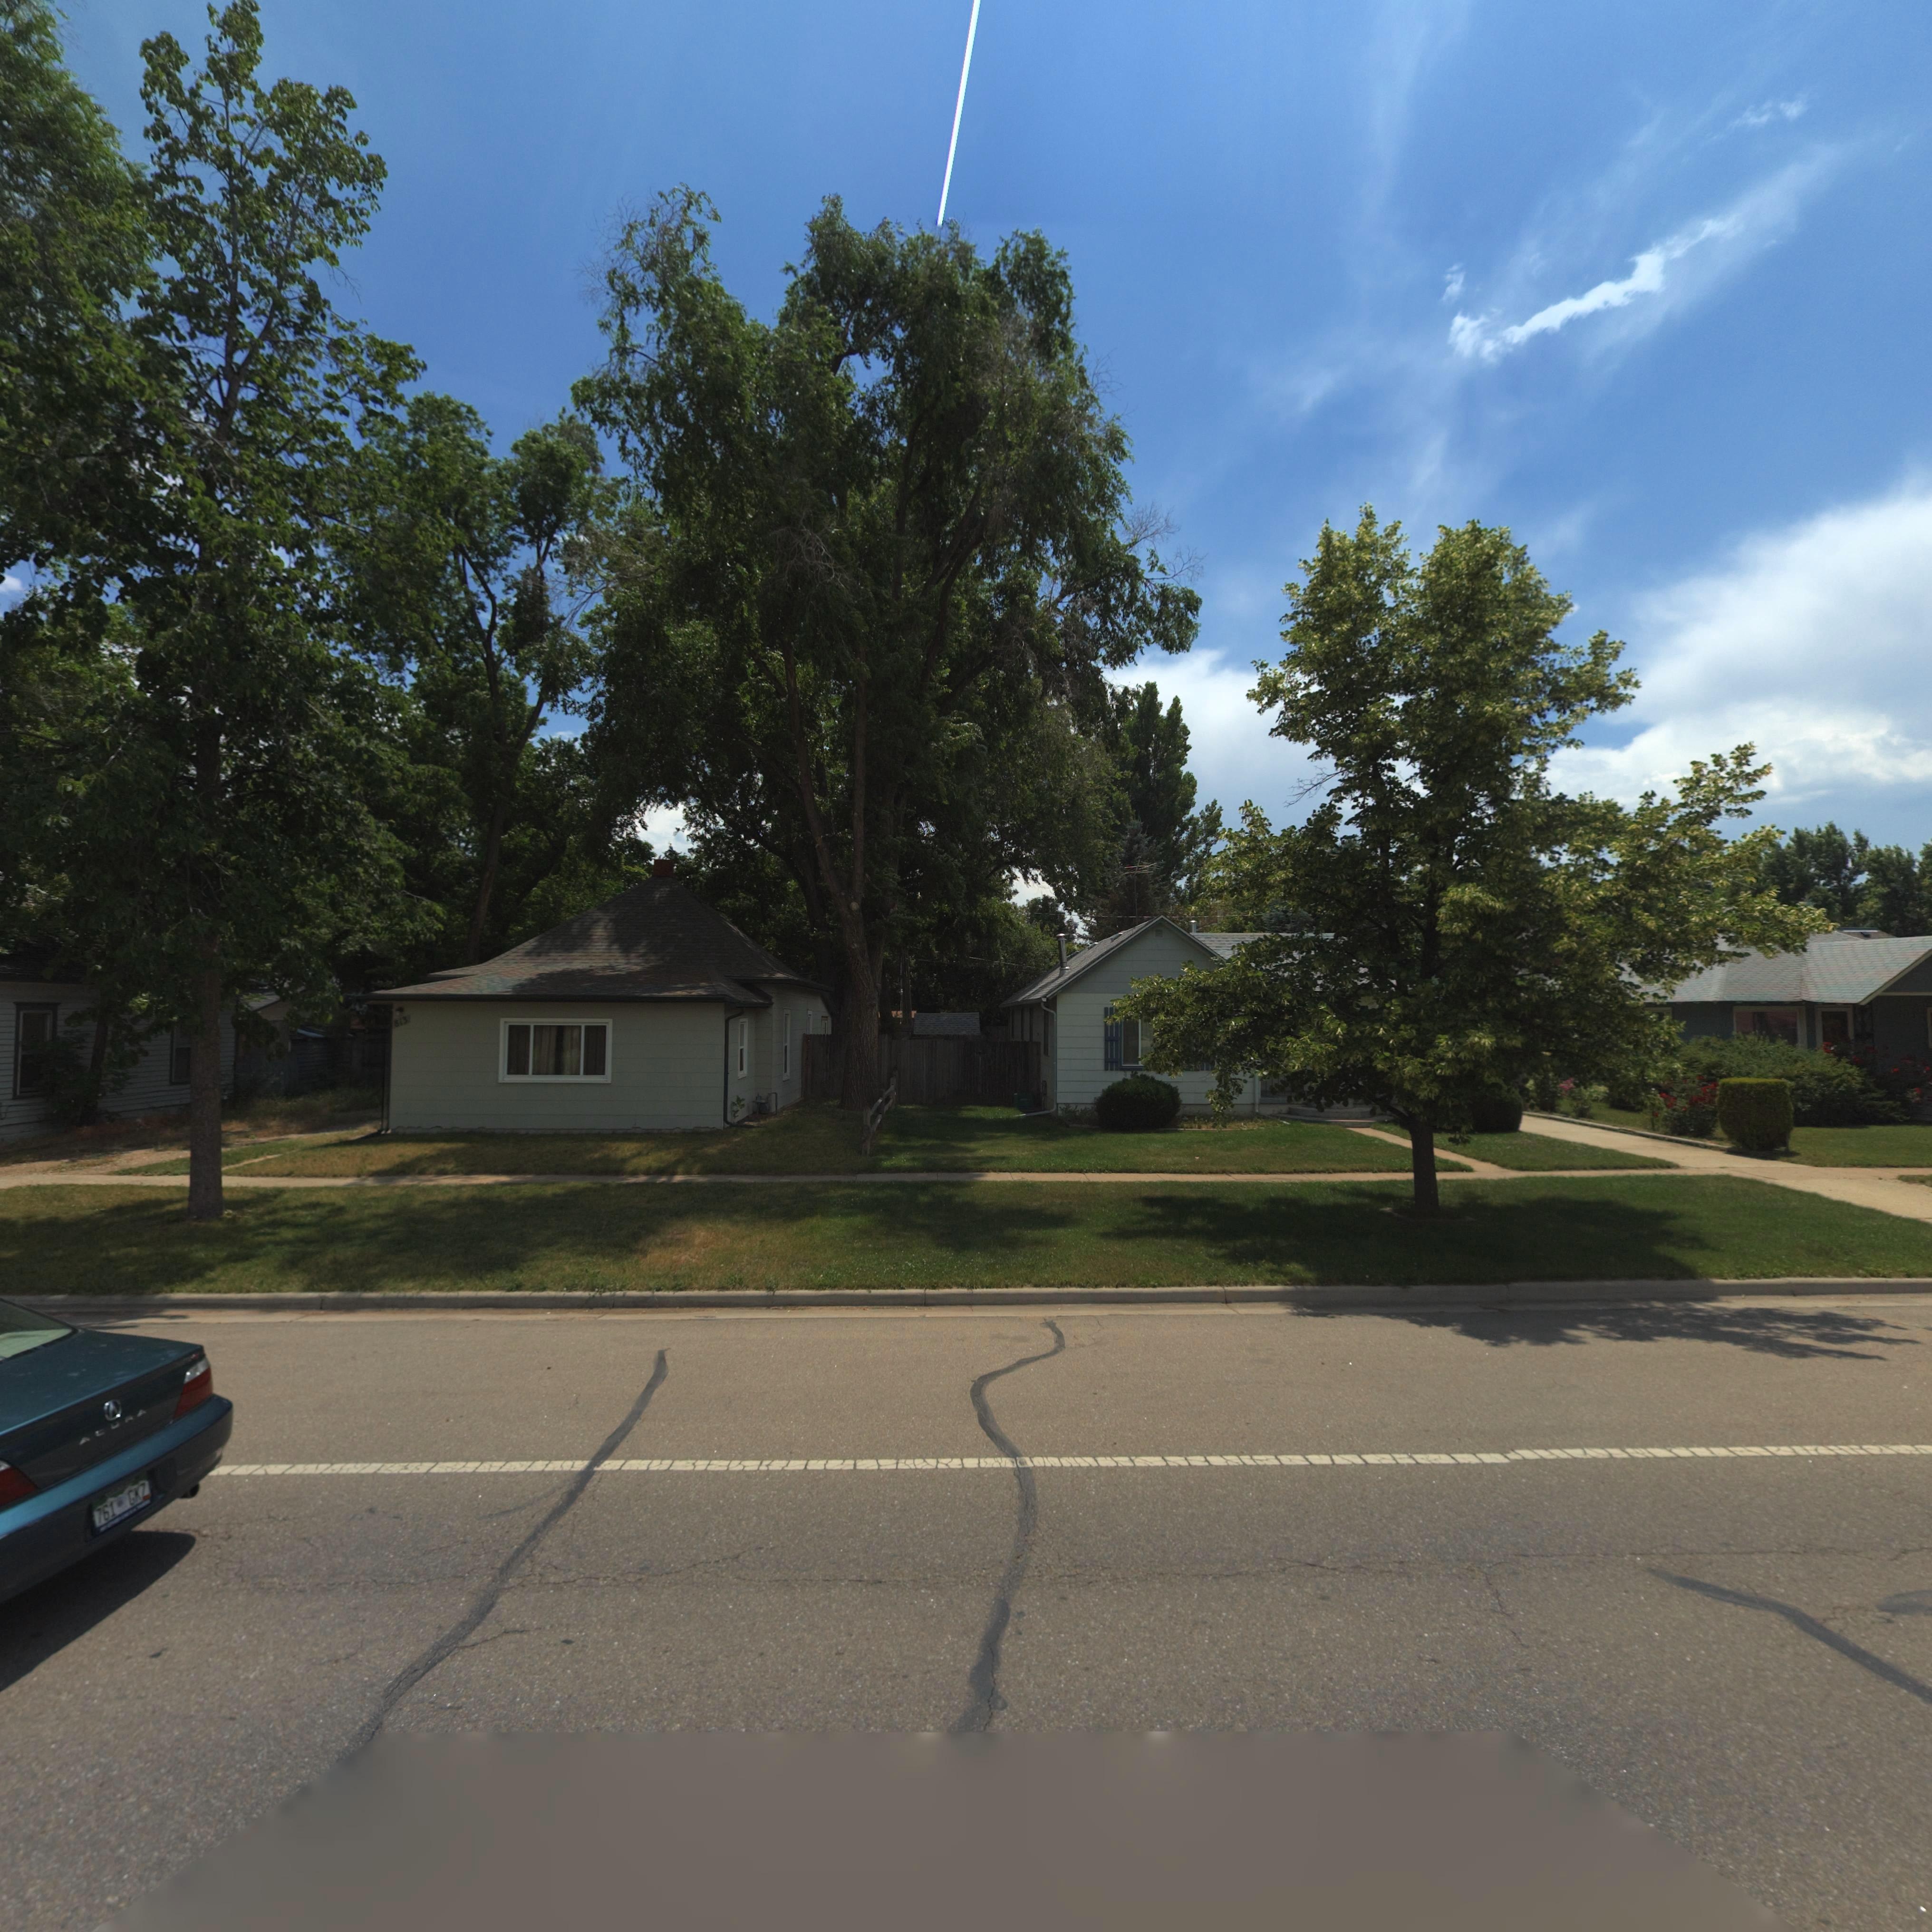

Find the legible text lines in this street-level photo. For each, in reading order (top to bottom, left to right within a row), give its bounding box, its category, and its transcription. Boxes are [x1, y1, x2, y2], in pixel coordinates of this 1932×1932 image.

[393, 1015, 408, 1028] StreetNumber: 813